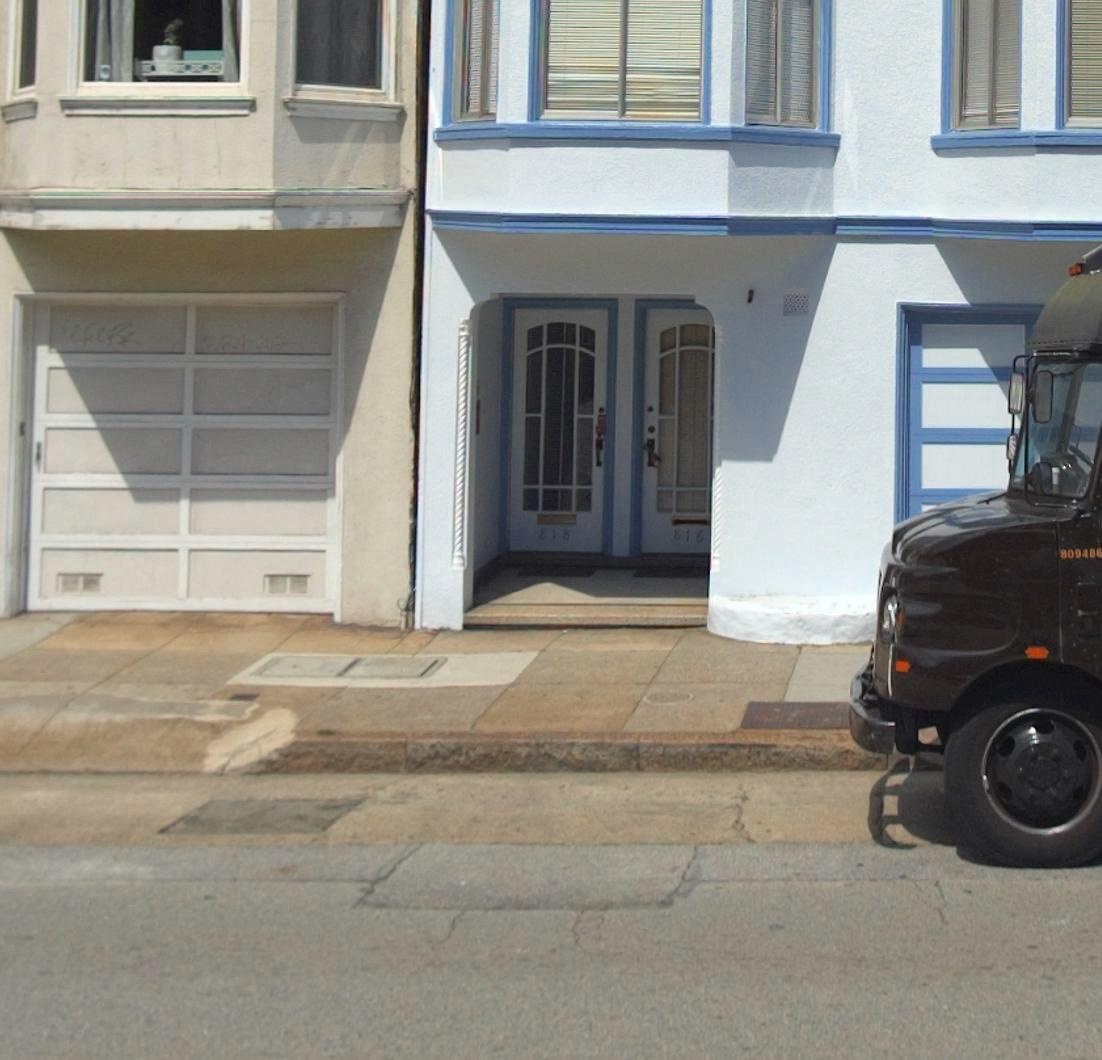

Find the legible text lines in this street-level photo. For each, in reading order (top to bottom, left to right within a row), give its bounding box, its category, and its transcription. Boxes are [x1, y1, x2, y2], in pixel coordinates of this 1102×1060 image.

[537, 526, 573, 543] StreetNumber: 818
[673, 527, 703, 543] StreetNumber: 816